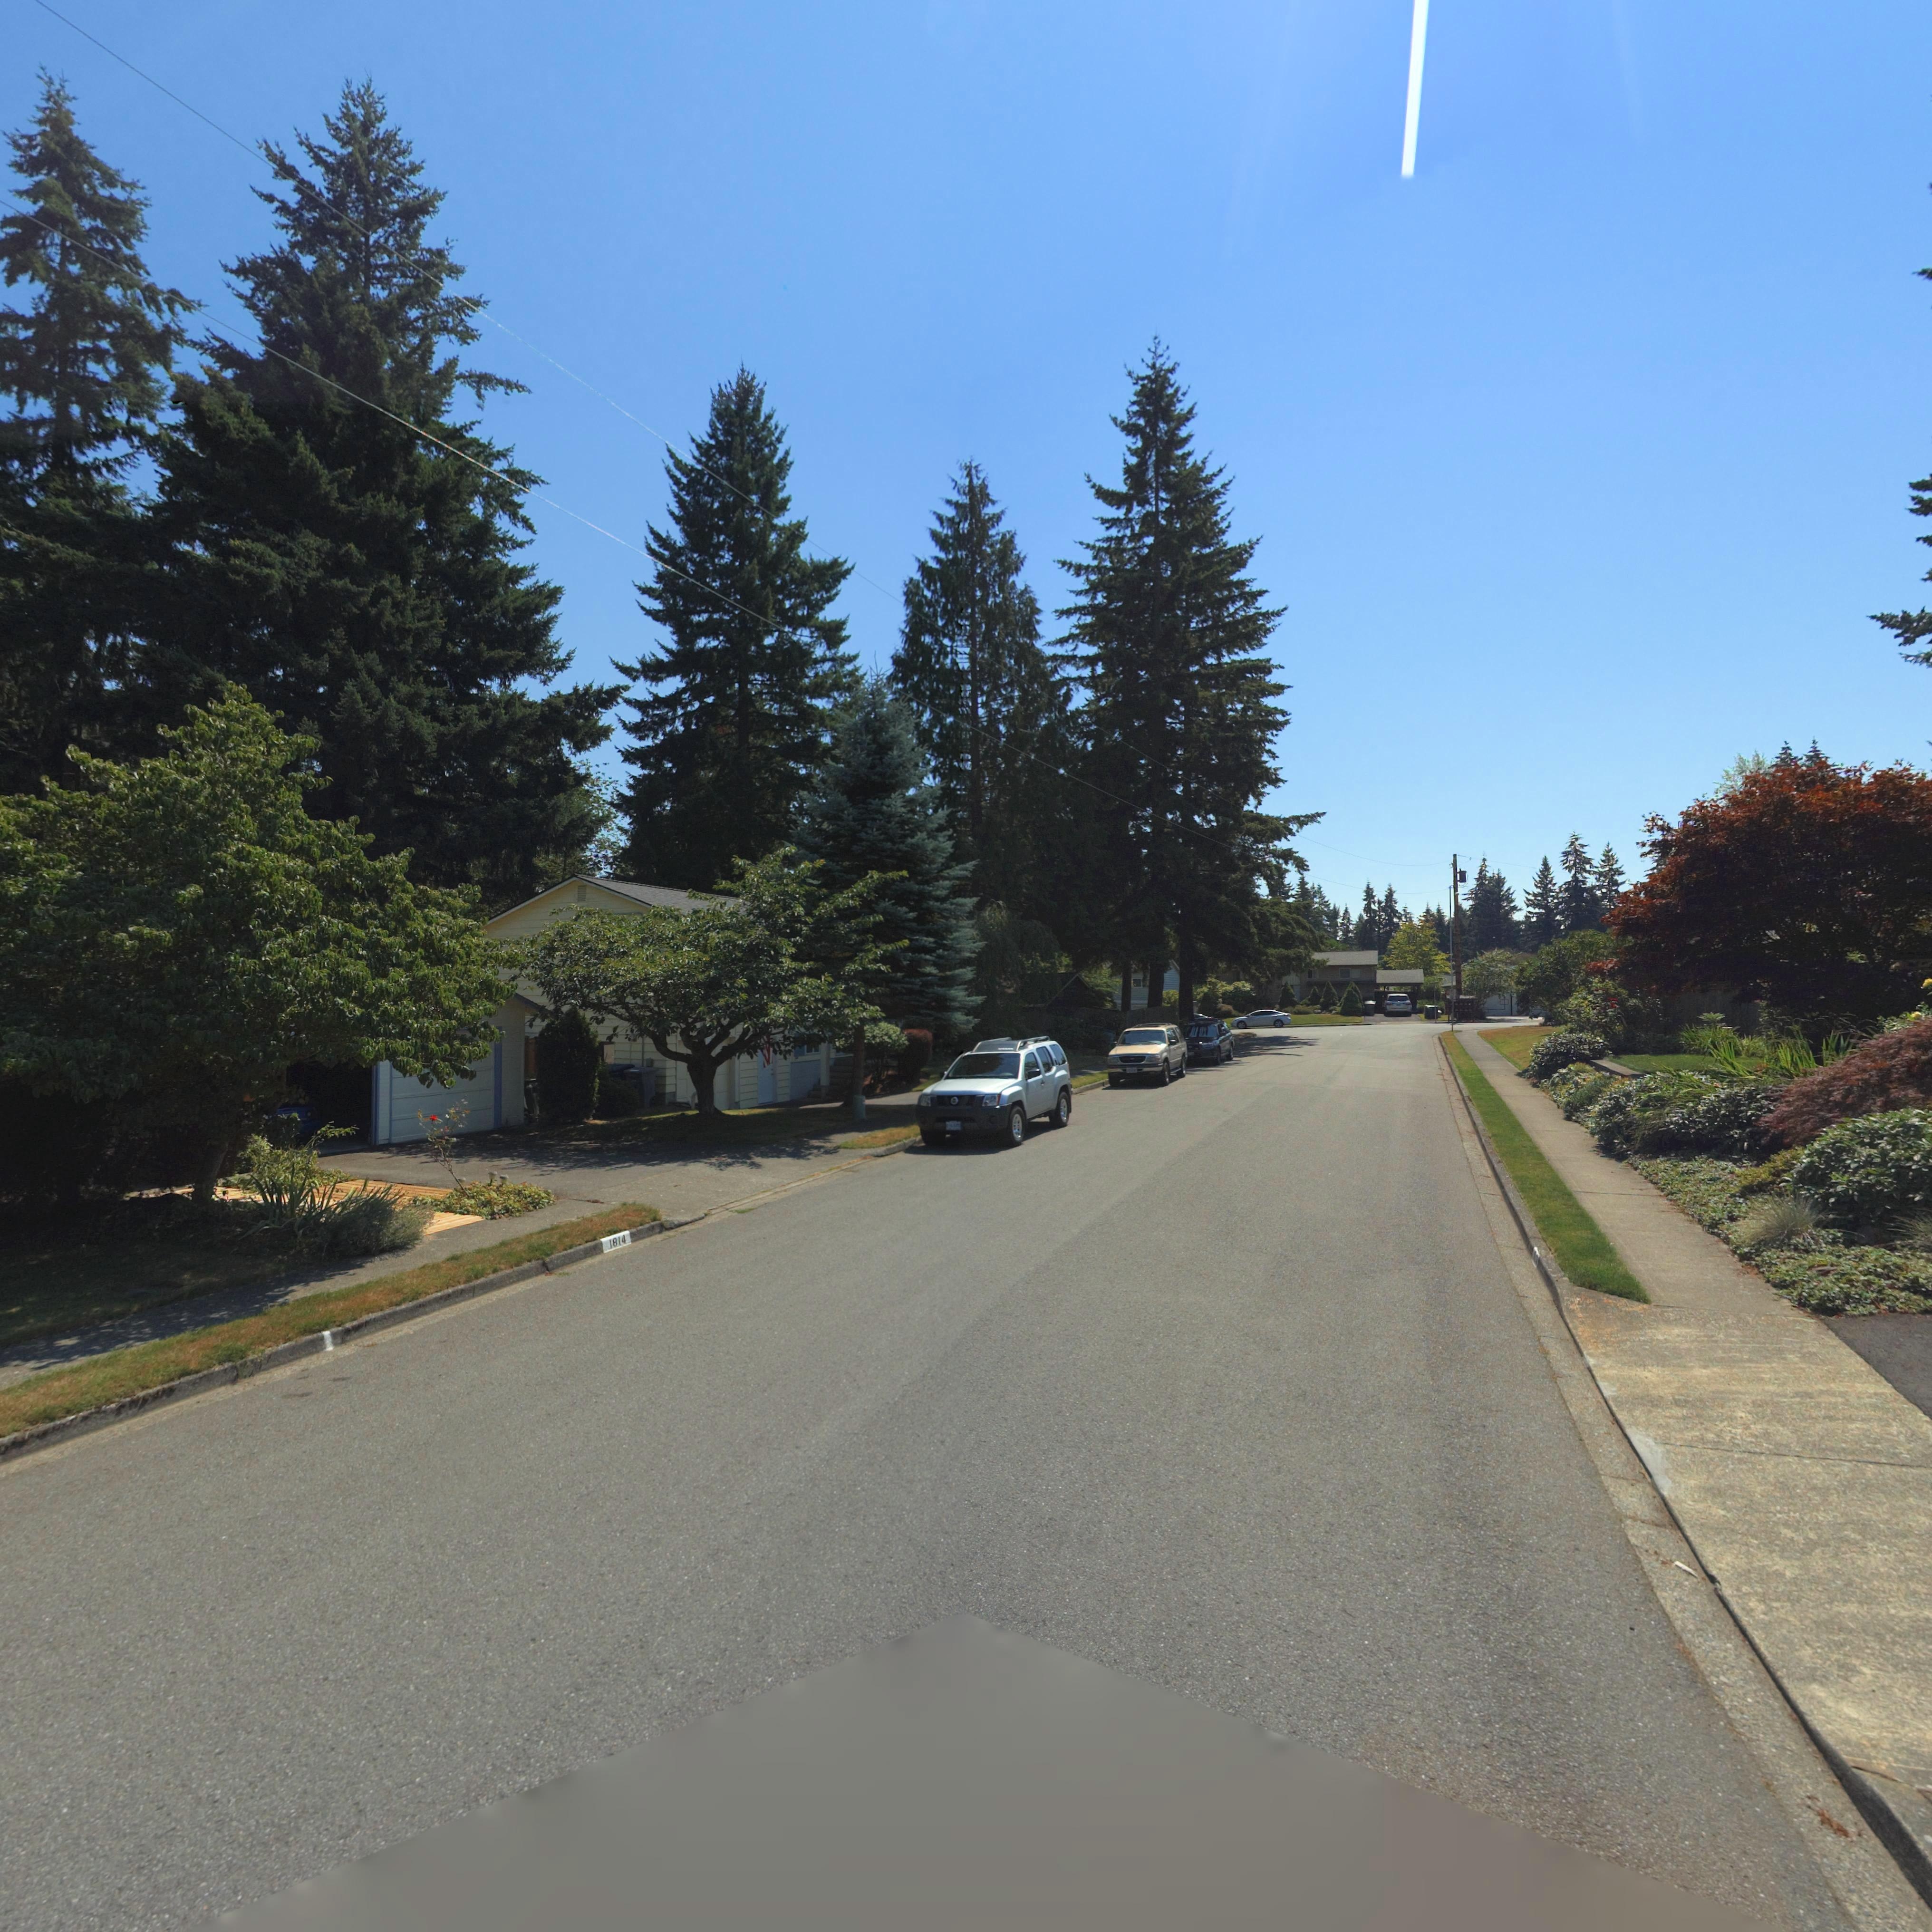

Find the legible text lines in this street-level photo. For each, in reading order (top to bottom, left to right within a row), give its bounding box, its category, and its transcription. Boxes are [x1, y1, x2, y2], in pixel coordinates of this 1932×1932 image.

[608, 1234, 627, 1249] StreetNumber: 1814